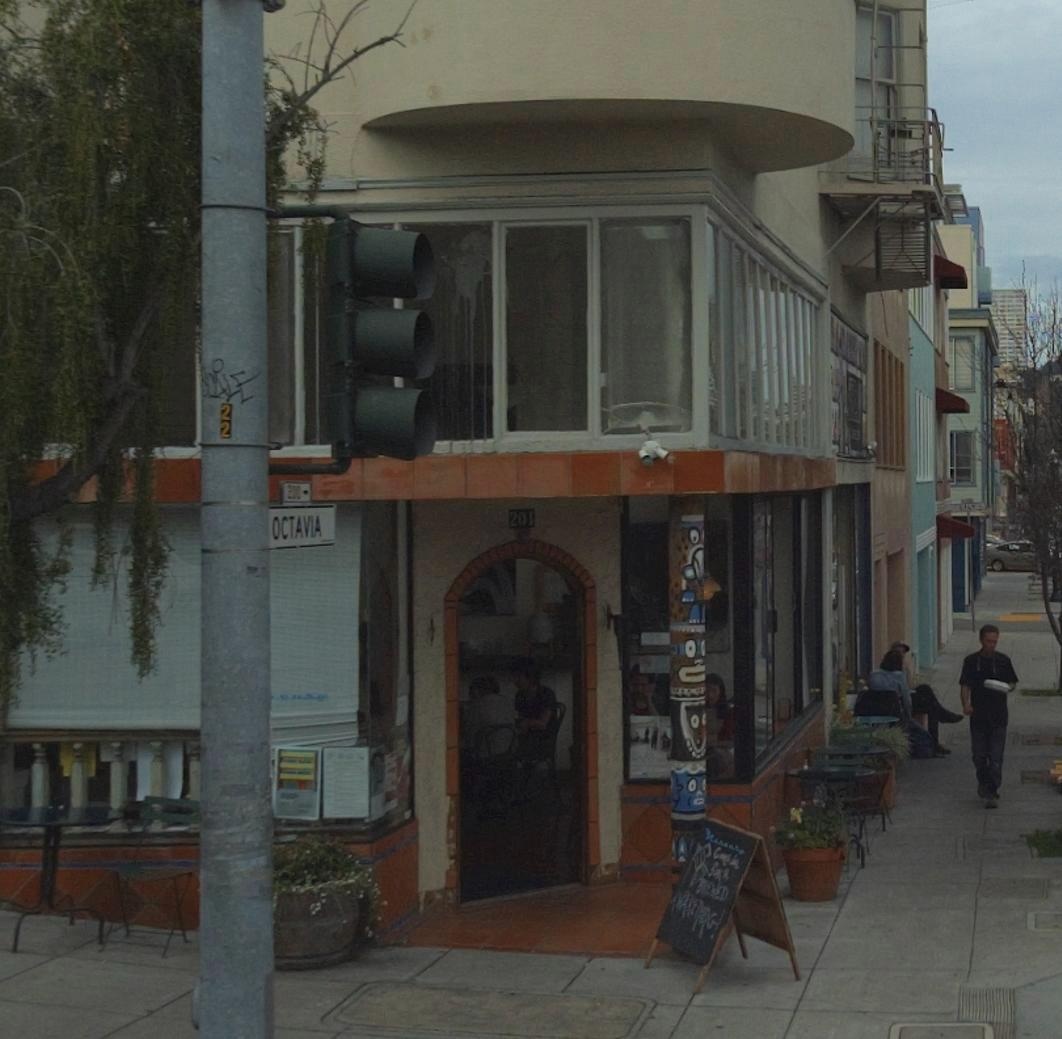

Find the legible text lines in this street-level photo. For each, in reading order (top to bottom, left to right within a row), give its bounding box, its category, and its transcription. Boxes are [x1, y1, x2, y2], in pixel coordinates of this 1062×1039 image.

[228, 367, 256, 408] None: E
[219, 403, 232, 439] None: 22
[286, 483, 309, 501] StreetNumberRange: *00->
[271, 513, 324, 542] StreetName: OCTAVIA
[508, 510, 534, 528] StreetNumber: 201